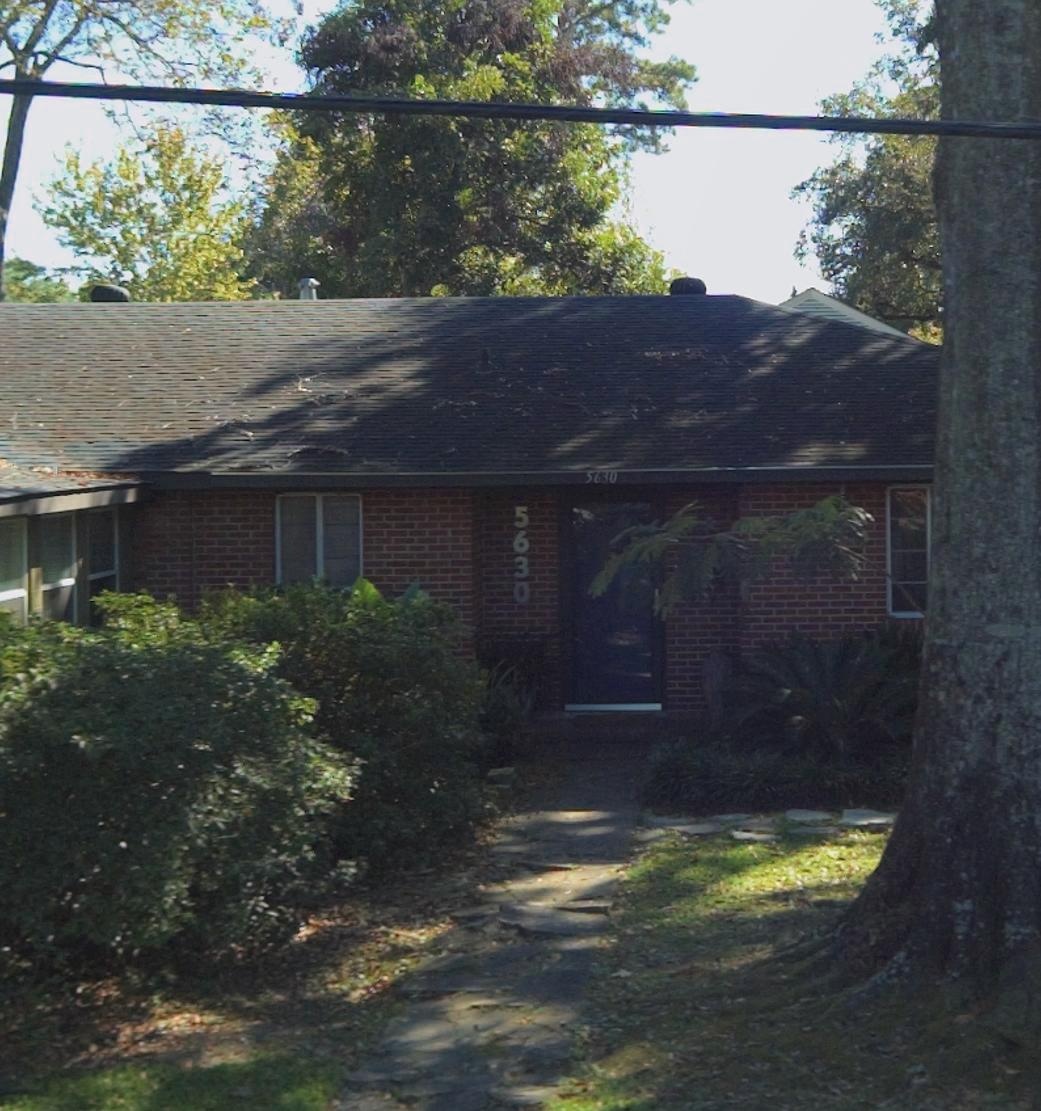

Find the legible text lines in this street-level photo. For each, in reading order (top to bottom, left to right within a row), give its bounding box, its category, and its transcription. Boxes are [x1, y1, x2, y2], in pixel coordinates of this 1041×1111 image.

[585, 470, 619, 484] StreetNumber: 5630
[512, 504, 530, 605] StreetNumber: 5630